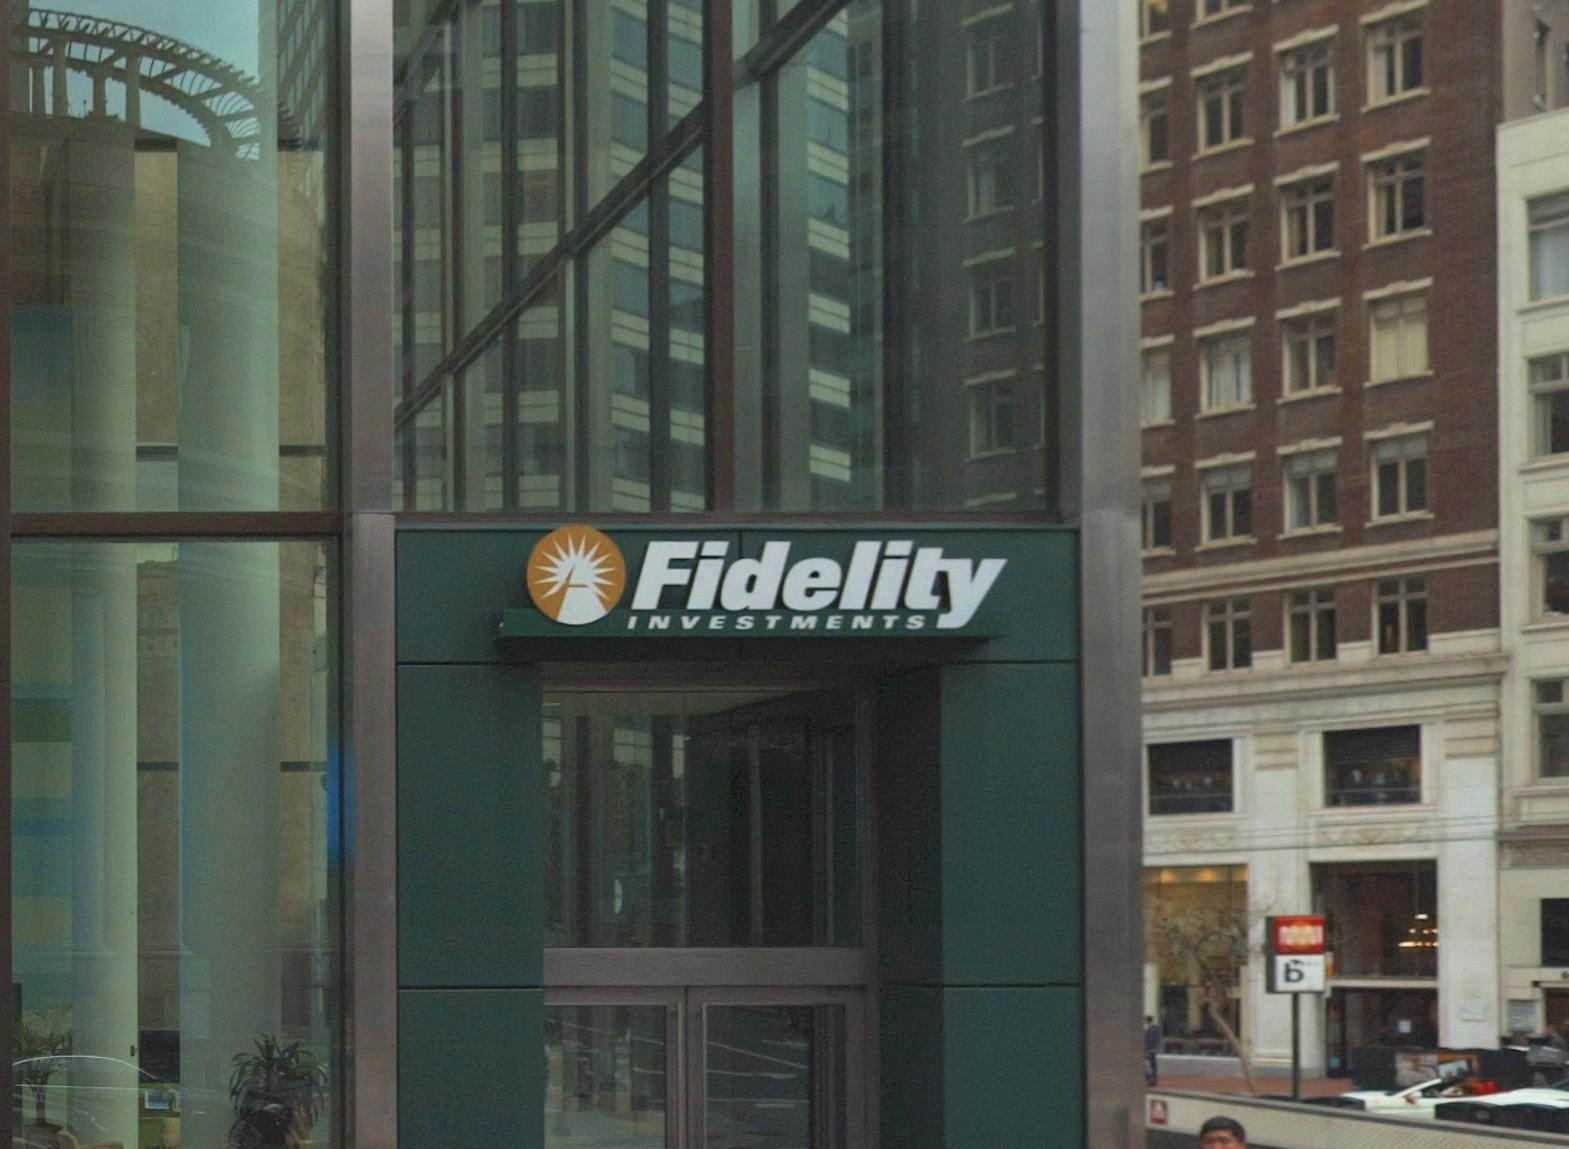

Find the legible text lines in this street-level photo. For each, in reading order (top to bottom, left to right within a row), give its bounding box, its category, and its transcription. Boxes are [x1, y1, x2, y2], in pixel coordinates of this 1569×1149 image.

[619, 611, 933, 633] BusinessName: INVESTMENTS
[623, 535, 1018, 635] BusinessName: Fidelity